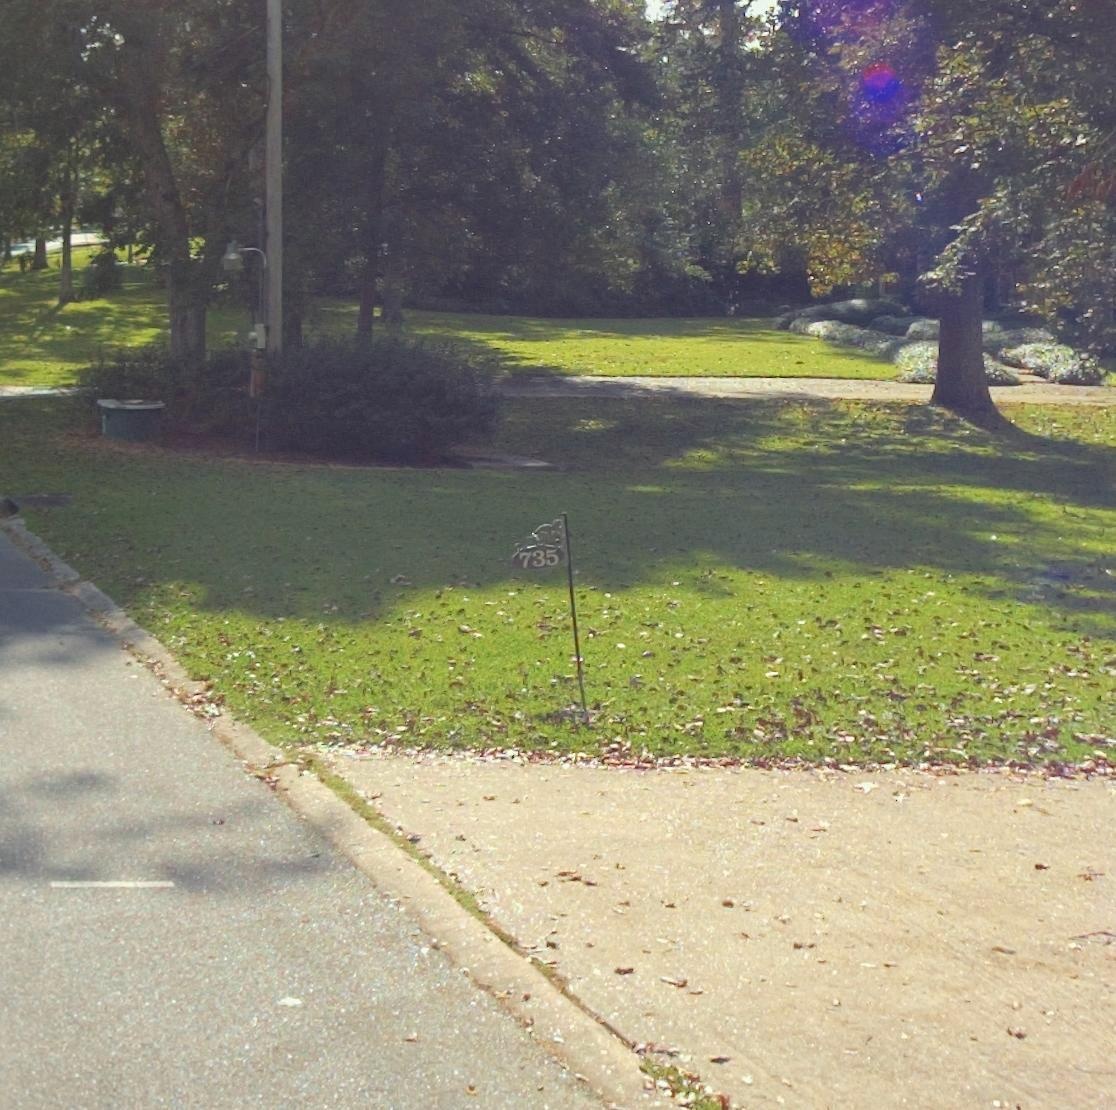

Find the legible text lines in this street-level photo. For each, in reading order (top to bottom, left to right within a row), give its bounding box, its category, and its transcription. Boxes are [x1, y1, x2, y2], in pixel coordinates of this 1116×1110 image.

[518, 548, 560, 570] StreetNumber: 735